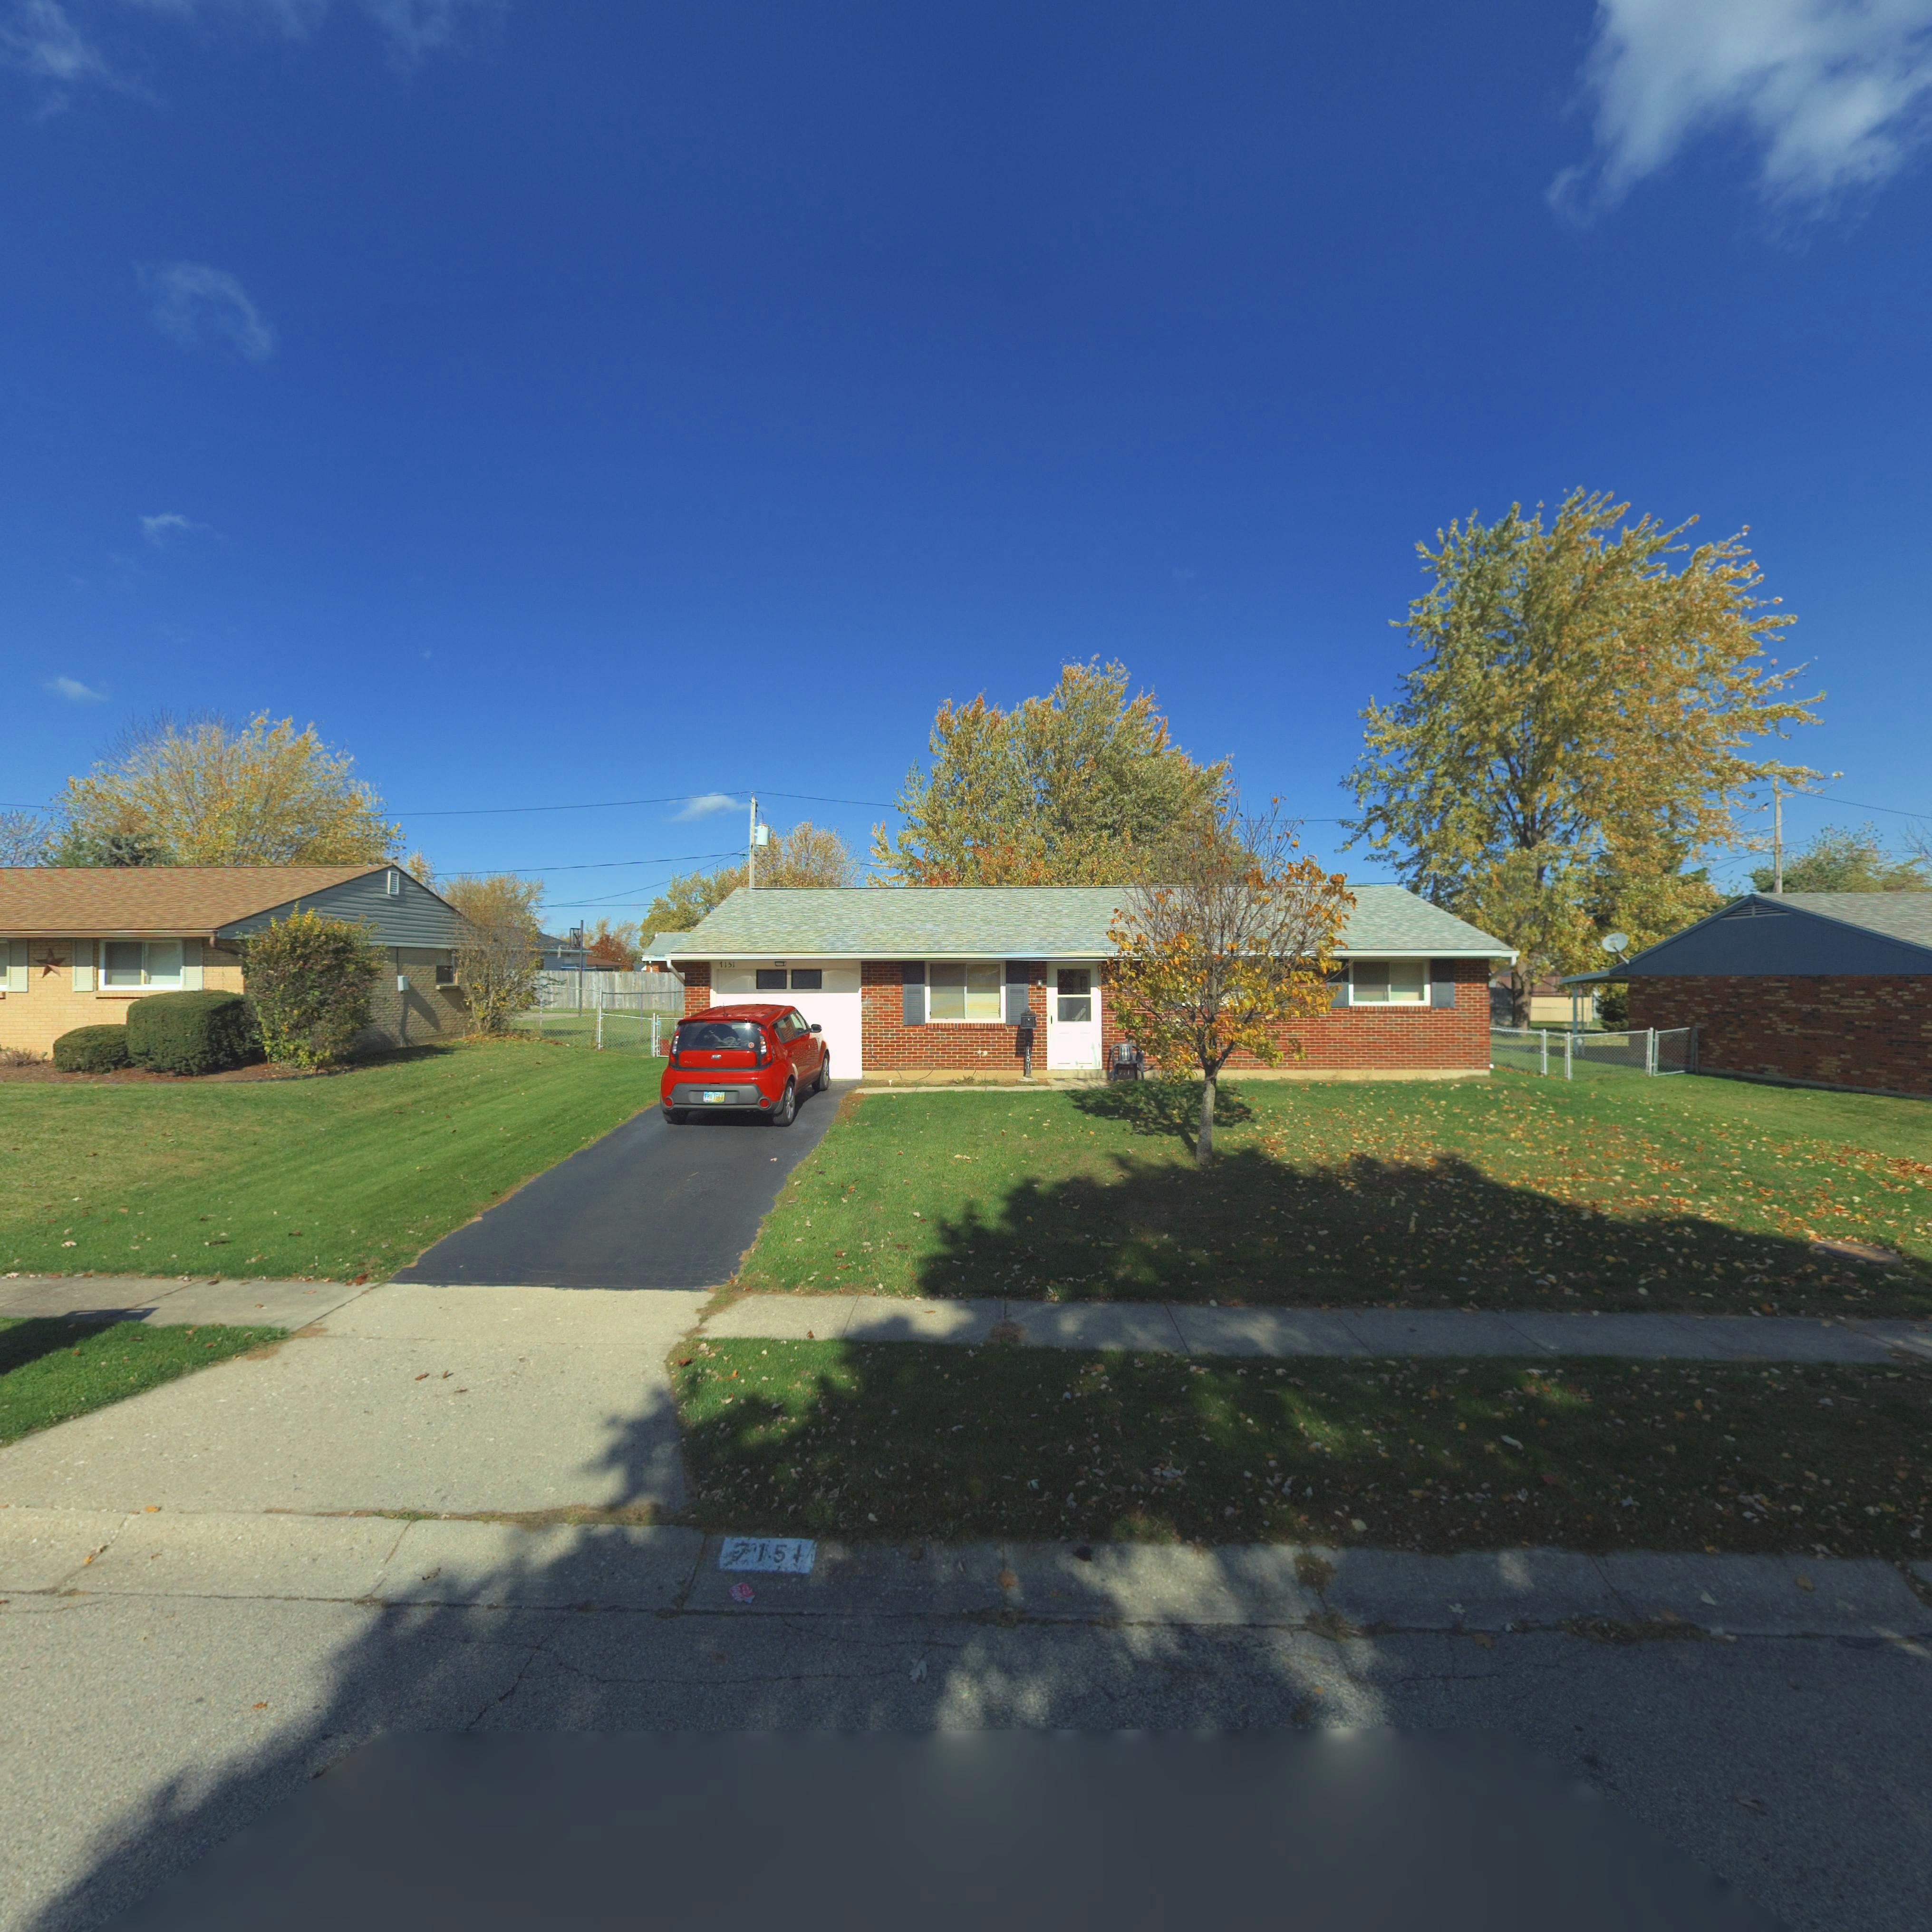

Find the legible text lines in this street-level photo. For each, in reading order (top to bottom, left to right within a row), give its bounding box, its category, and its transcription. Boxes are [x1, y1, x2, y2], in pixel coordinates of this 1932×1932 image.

[718, 960, 736, 969] StreetNumber: 7151
[1025, 1041, 1032, 1070] StreetNumber: 7151
[731, 1541, 803, 1565] StreetNumber: 7151